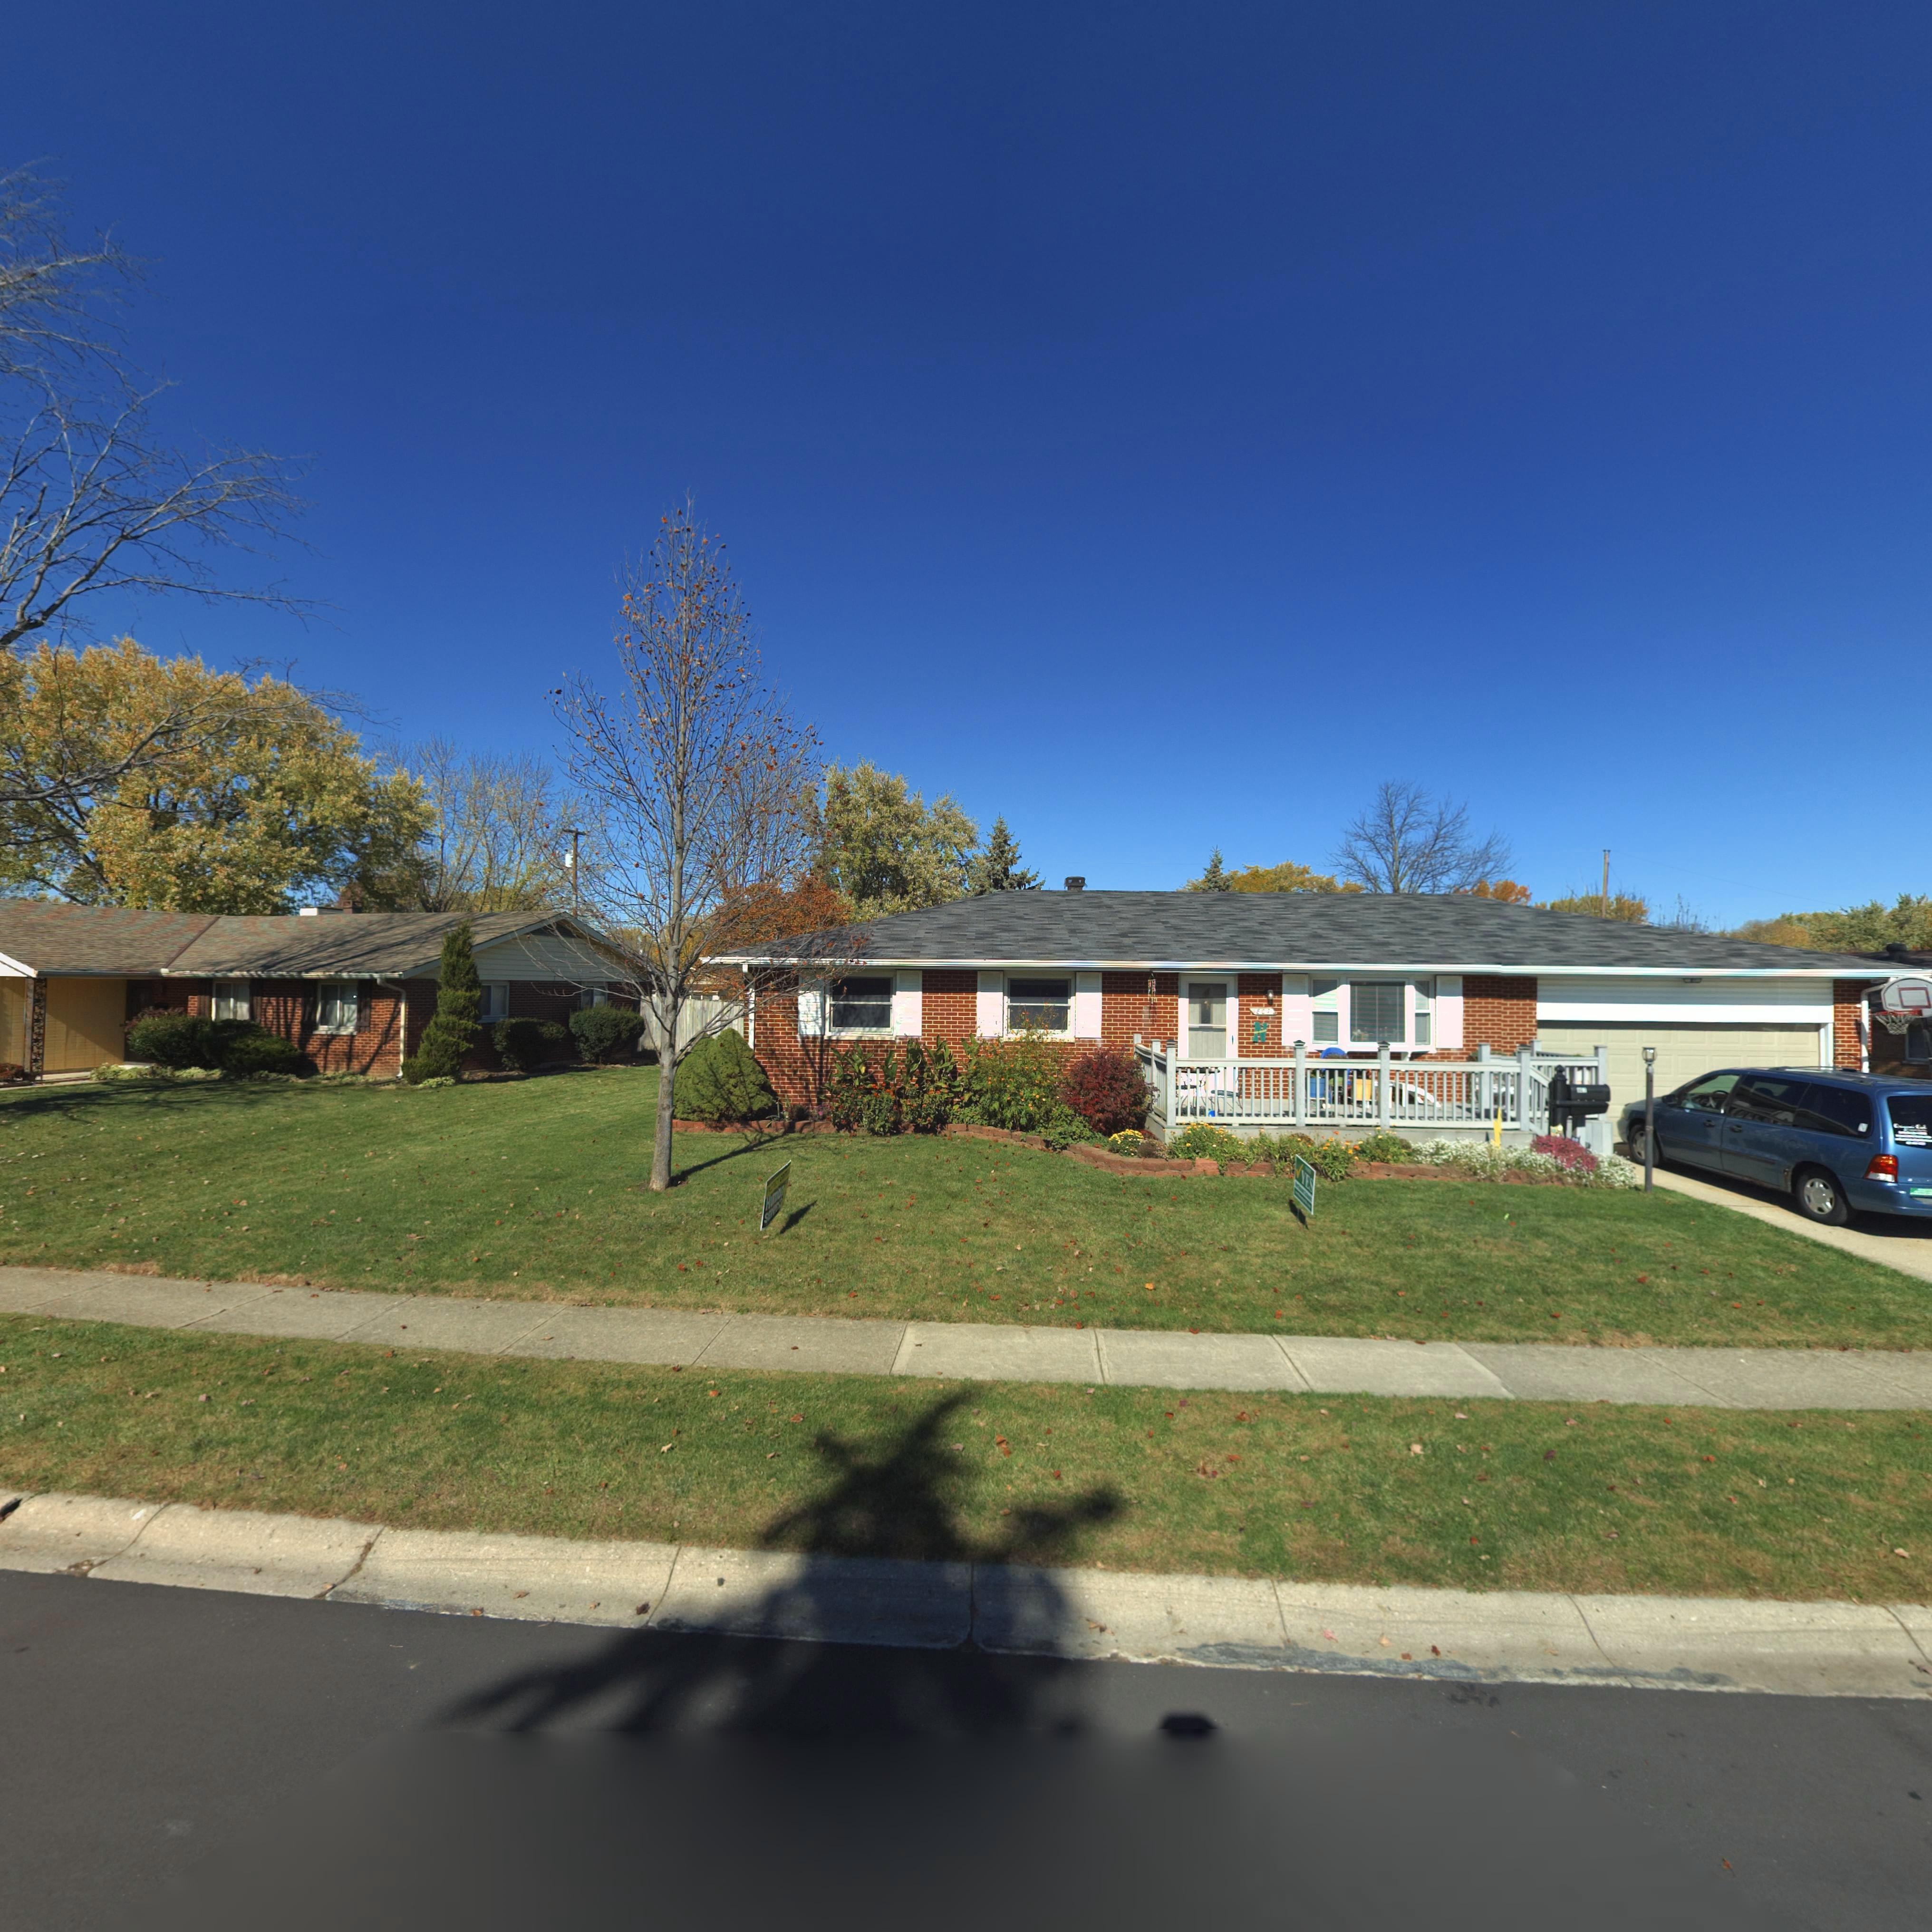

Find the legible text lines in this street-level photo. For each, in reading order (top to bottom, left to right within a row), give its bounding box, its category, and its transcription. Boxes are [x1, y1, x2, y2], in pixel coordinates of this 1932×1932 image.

[1256, 1008, 1271, 1014] StreetNumber: 807